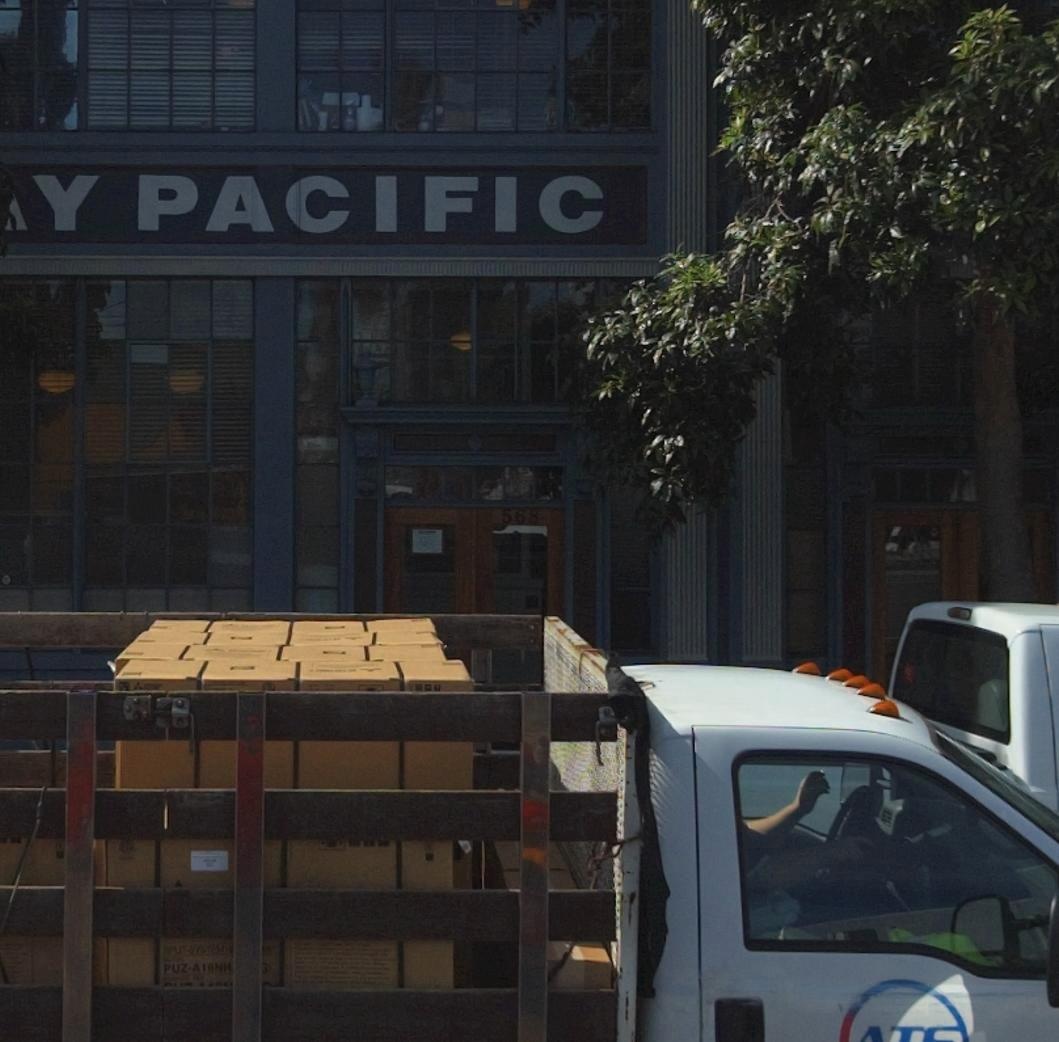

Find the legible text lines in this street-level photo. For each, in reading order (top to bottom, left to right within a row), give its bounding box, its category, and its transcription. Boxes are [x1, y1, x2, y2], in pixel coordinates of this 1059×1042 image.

[26, 168, 611, 240] BusinessName: Y PACIFIC
[499, 505, 542, 528] StreetNumber: 588
[162, 960, 209, 976] None: PUZ-A1